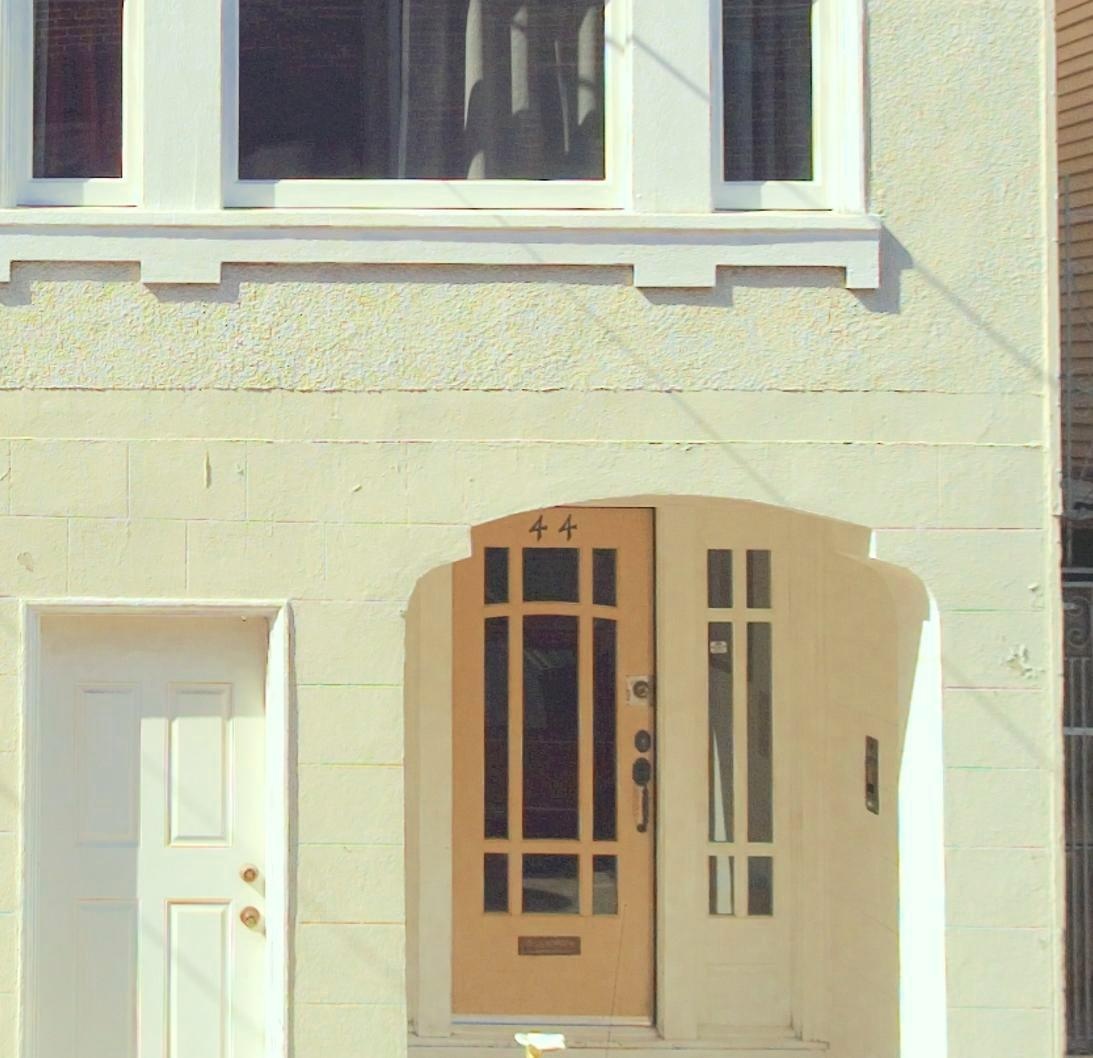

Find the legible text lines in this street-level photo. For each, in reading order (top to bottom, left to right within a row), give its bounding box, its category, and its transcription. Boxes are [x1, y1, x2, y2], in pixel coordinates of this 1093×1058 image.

[518, 509, 580, 545] StreetNumber: 44